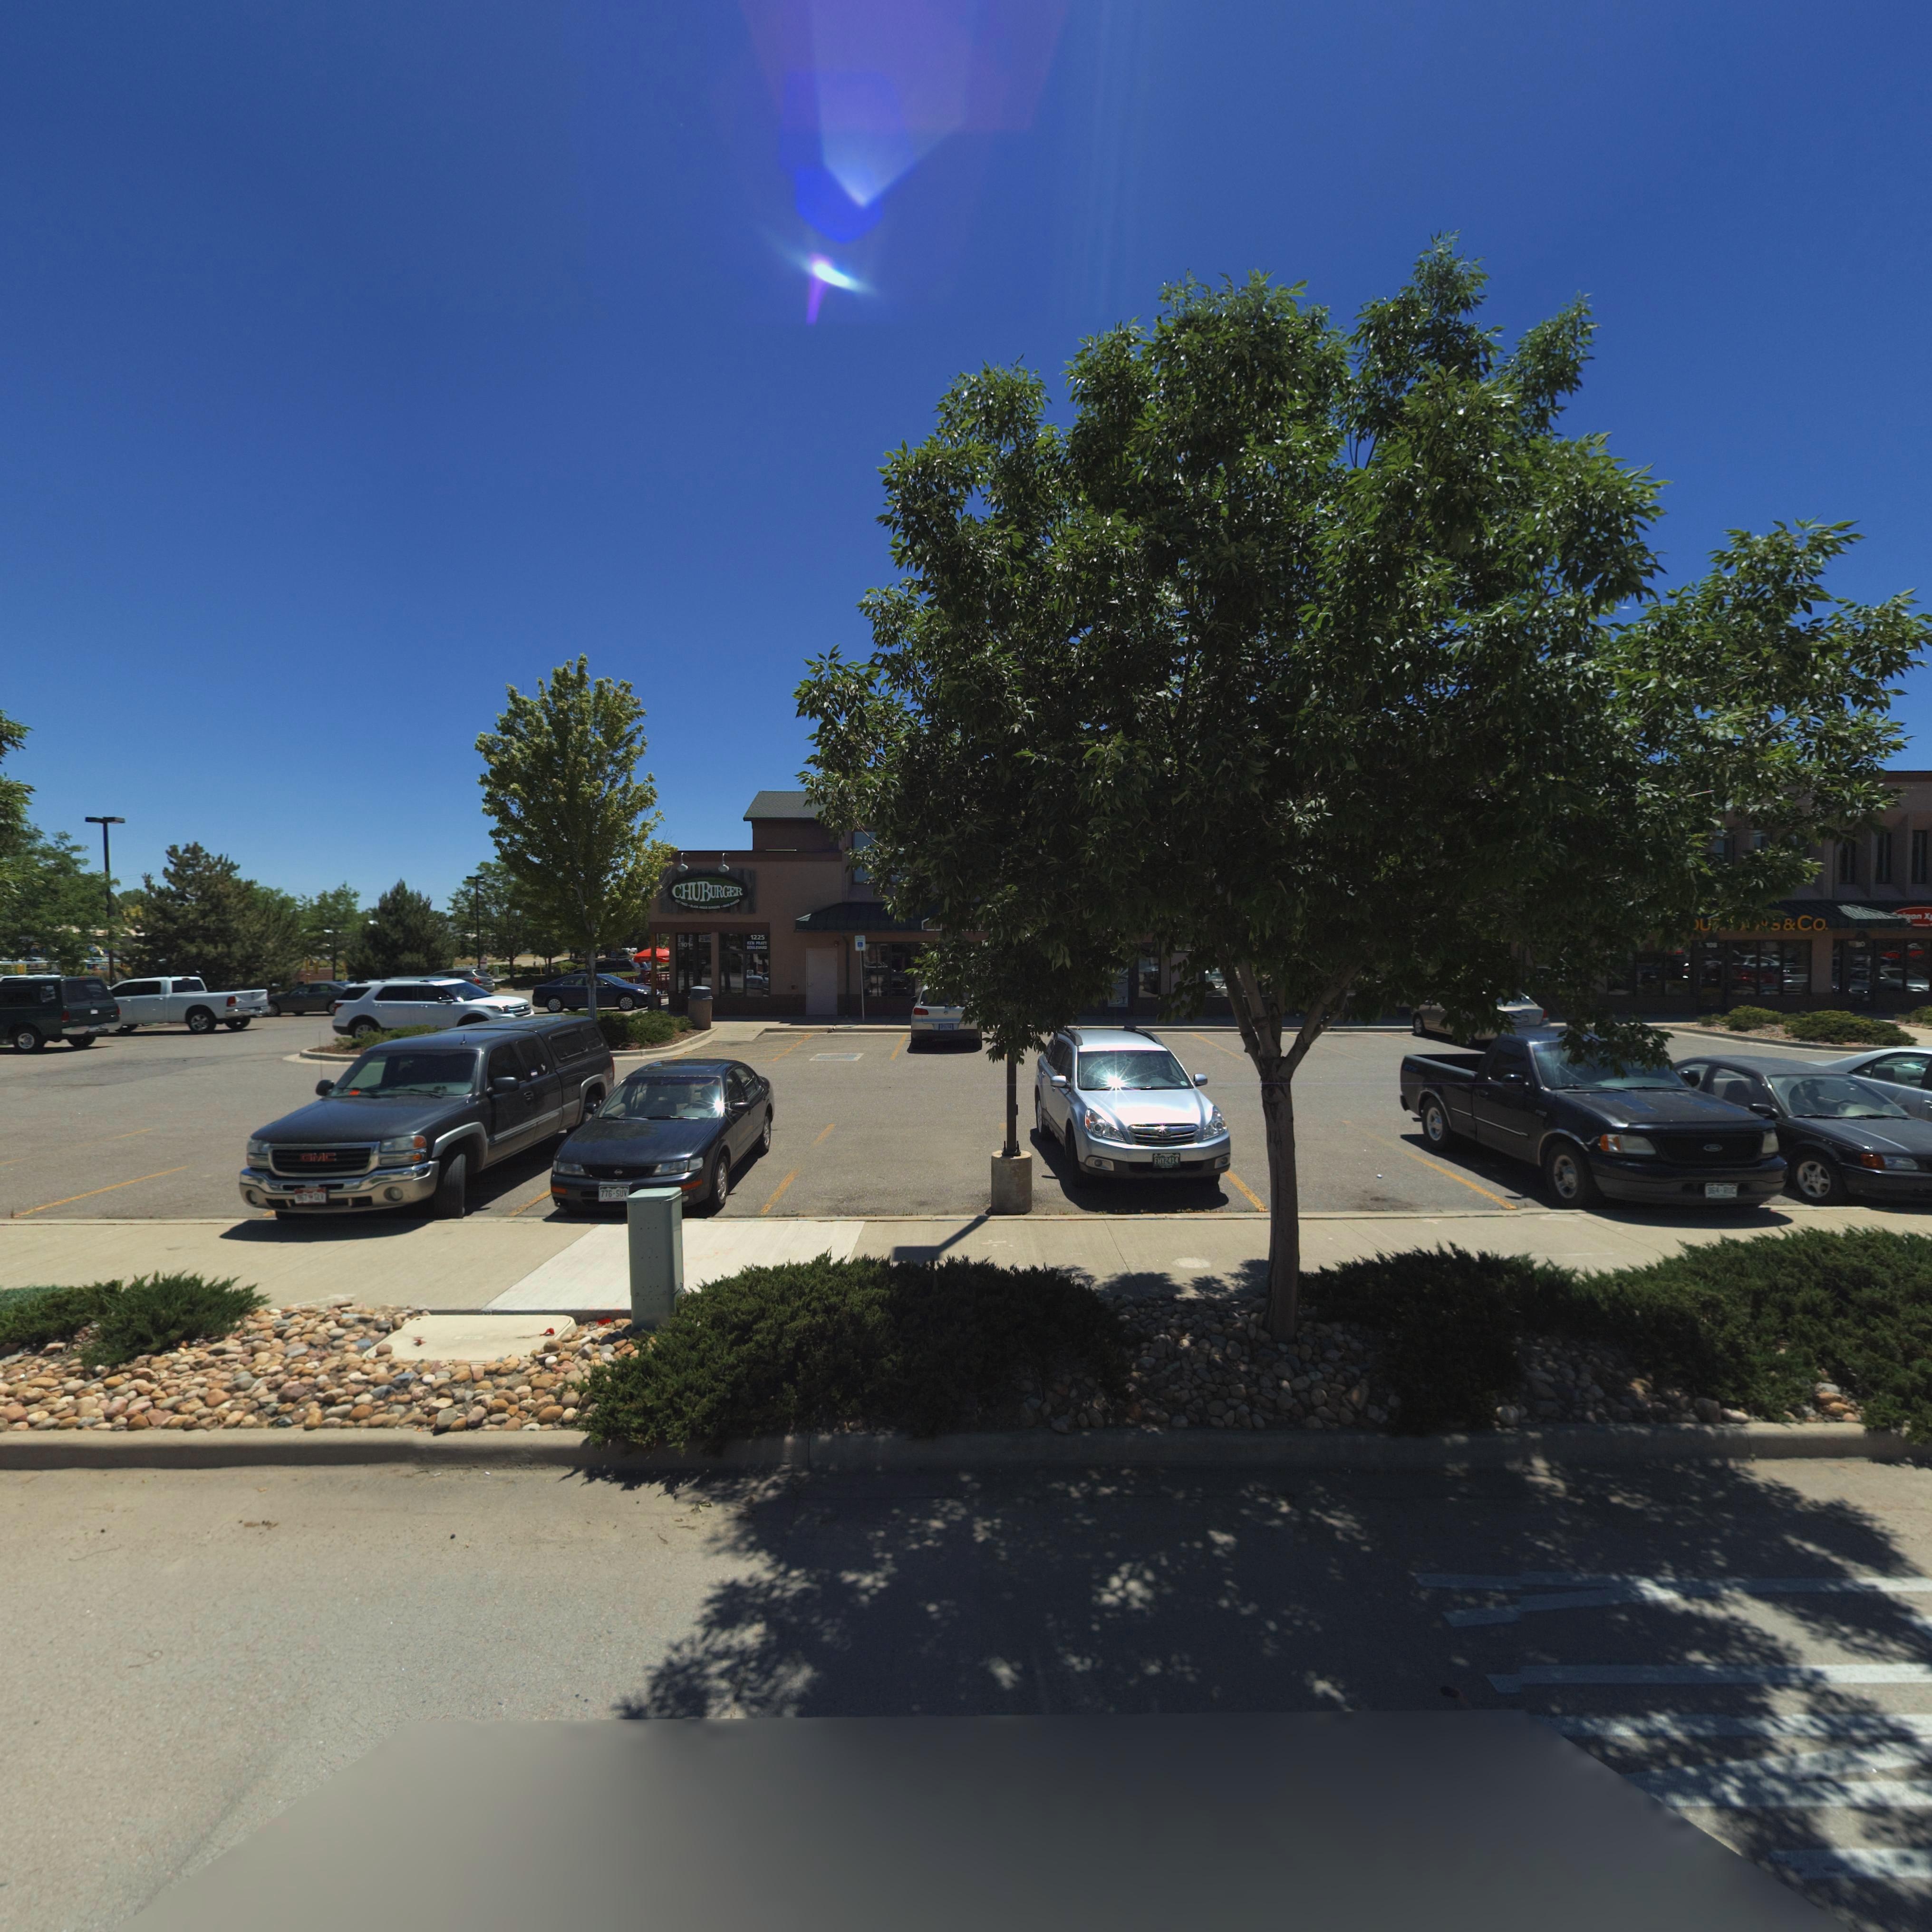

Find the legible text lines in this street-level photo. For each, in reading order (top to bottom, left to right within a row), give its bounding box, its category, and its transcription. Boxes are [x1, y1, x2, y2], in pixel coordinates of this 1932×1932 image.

[671, 880, 744, 902] BusinessName: CHUBURGER
[1910, 912, 1931, 919] BusinessName: on X
[1689, 914, 1828, 932] BusinessName: *U* **** & CO.
[750, 934, 765, 940] StreetNumber: 1225
[680, 942, 691, 947] BusinessName: 101
[746, 941, 767, 945] StreetName: K*N PRATT
[746, 946, 768, 949] StreetName: BOULEVARD
[1705, 942, 1718, 948] StreetNumber: 108
[1855, 941, 1865, 947] StreetNumber: 110